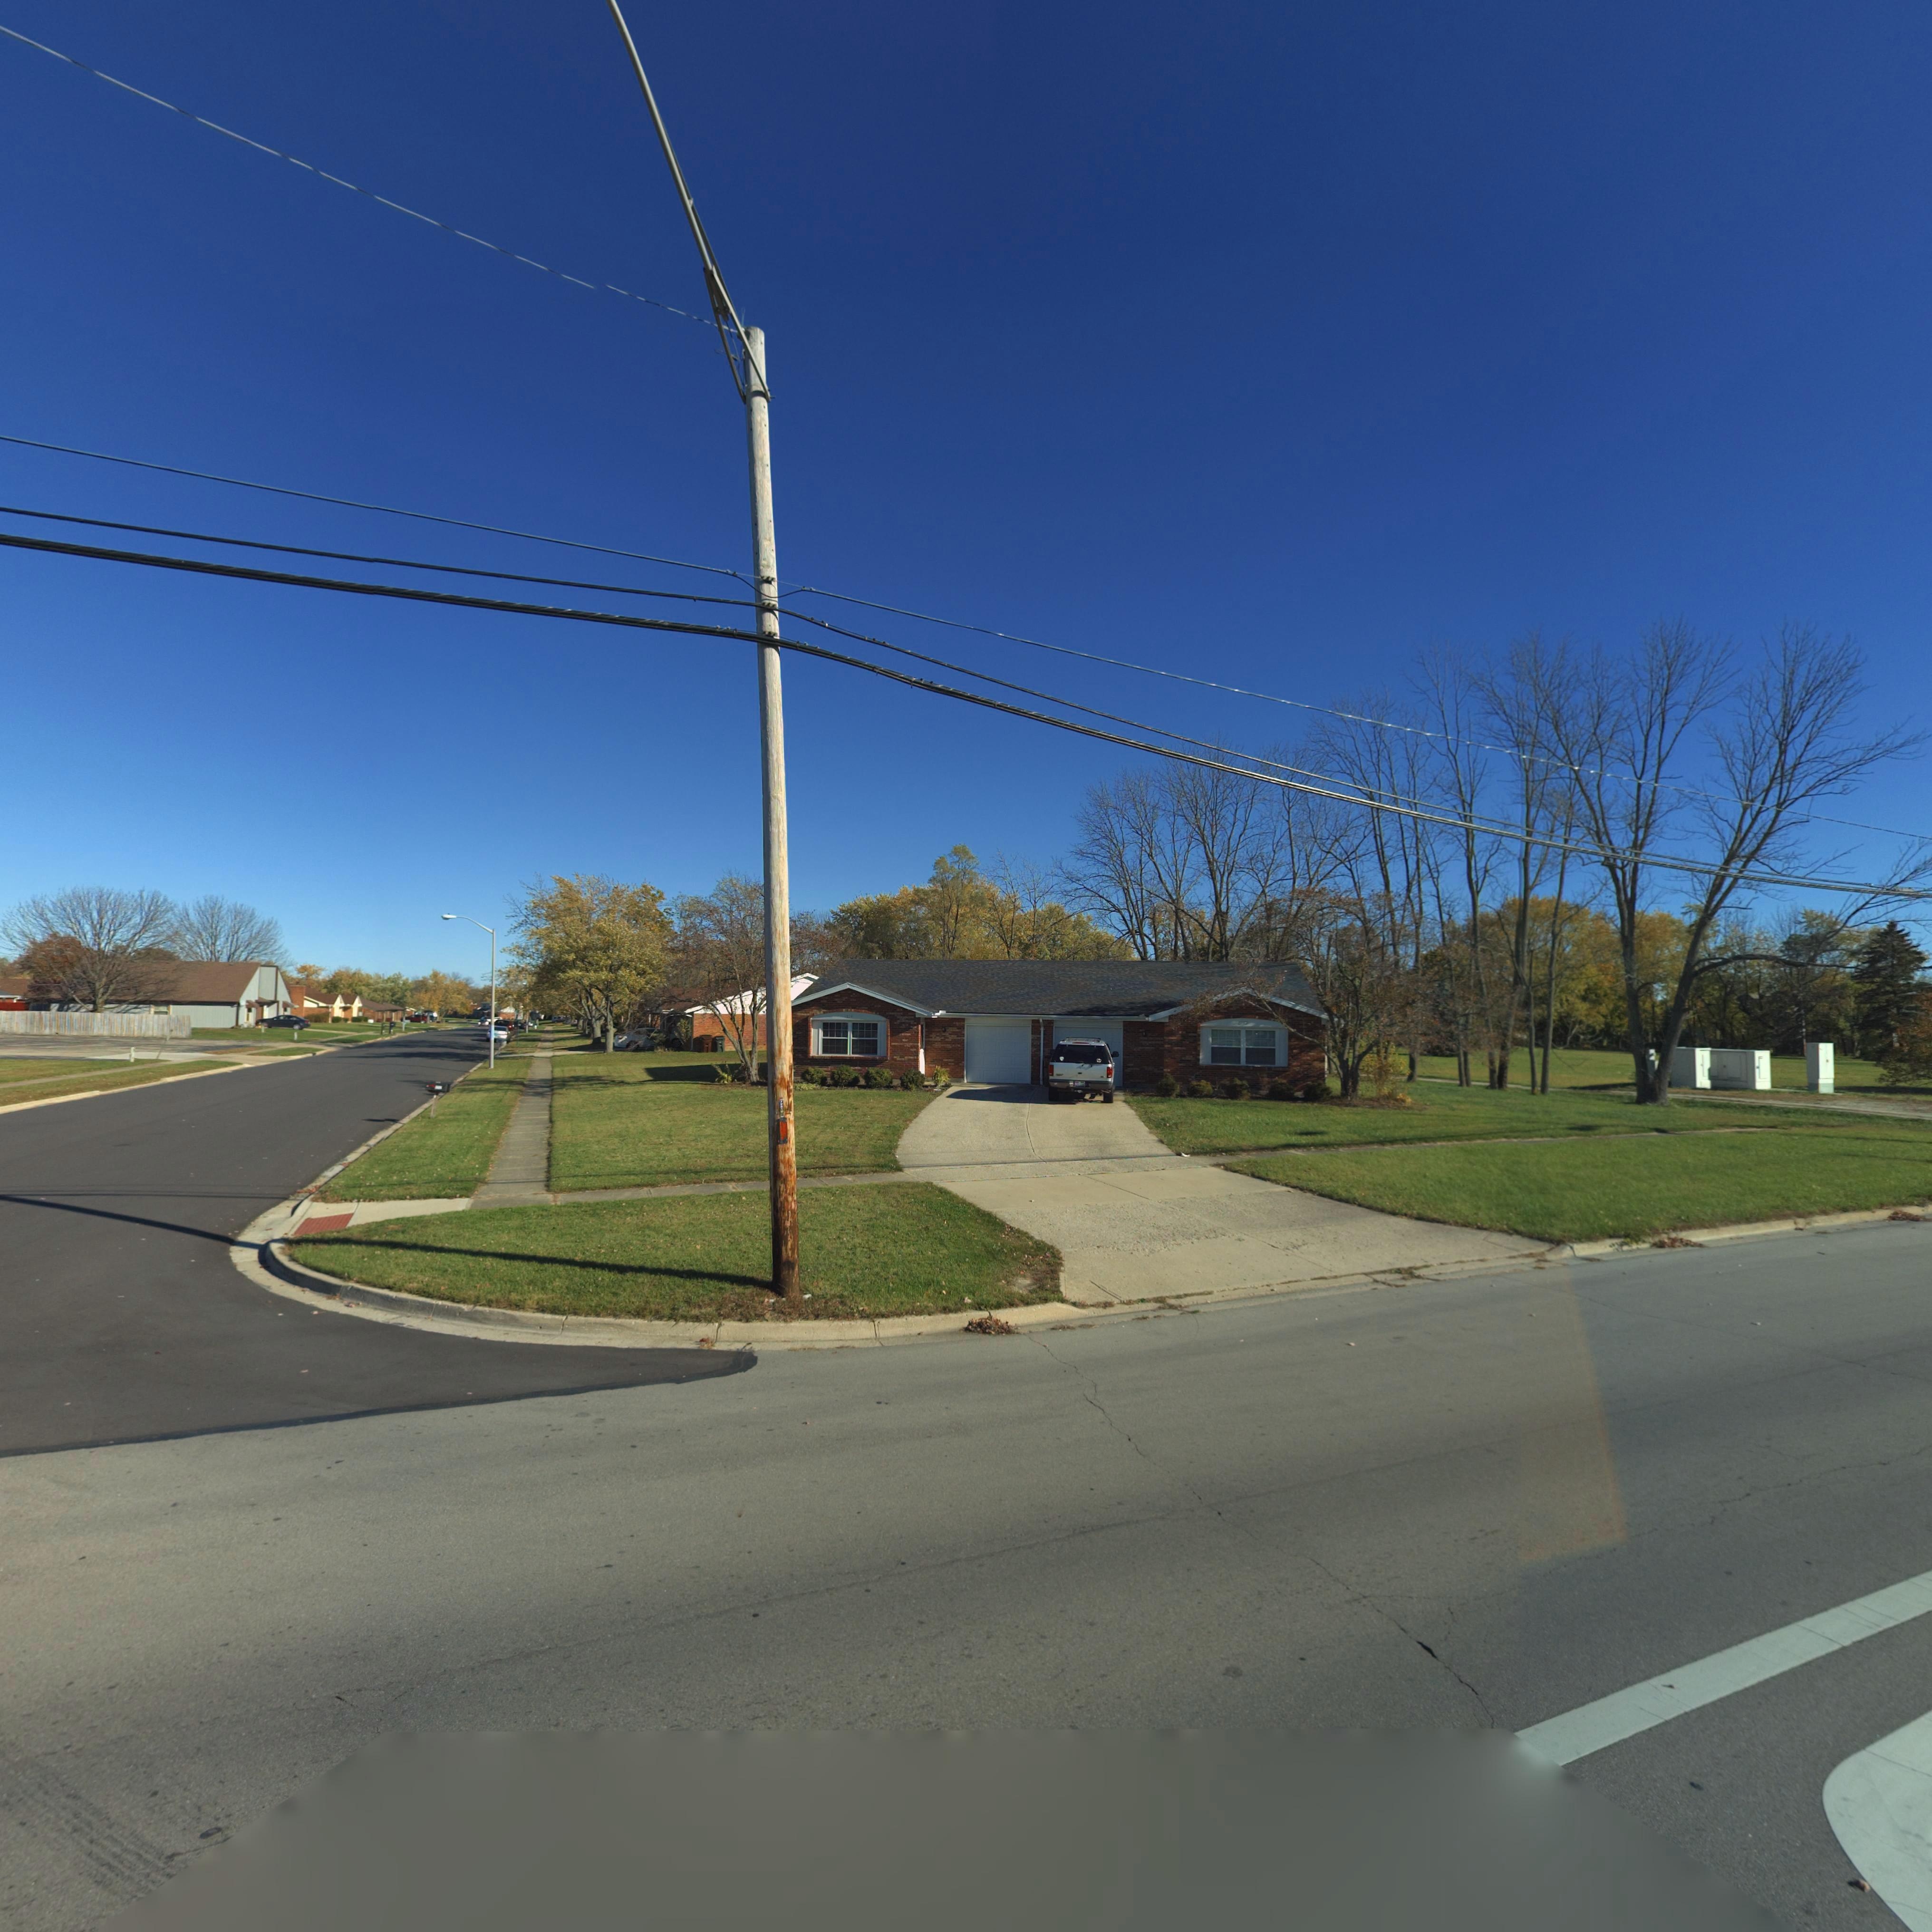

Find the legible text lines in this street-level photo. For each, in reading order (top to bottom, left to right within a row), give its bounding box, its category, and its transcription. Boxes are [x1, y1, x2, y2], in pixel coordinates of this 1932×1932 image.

[844, 1014, 853, 1018] StreetNumber: 1250
[1237, 1021, 1249, 1025] StreetNumber: 1252